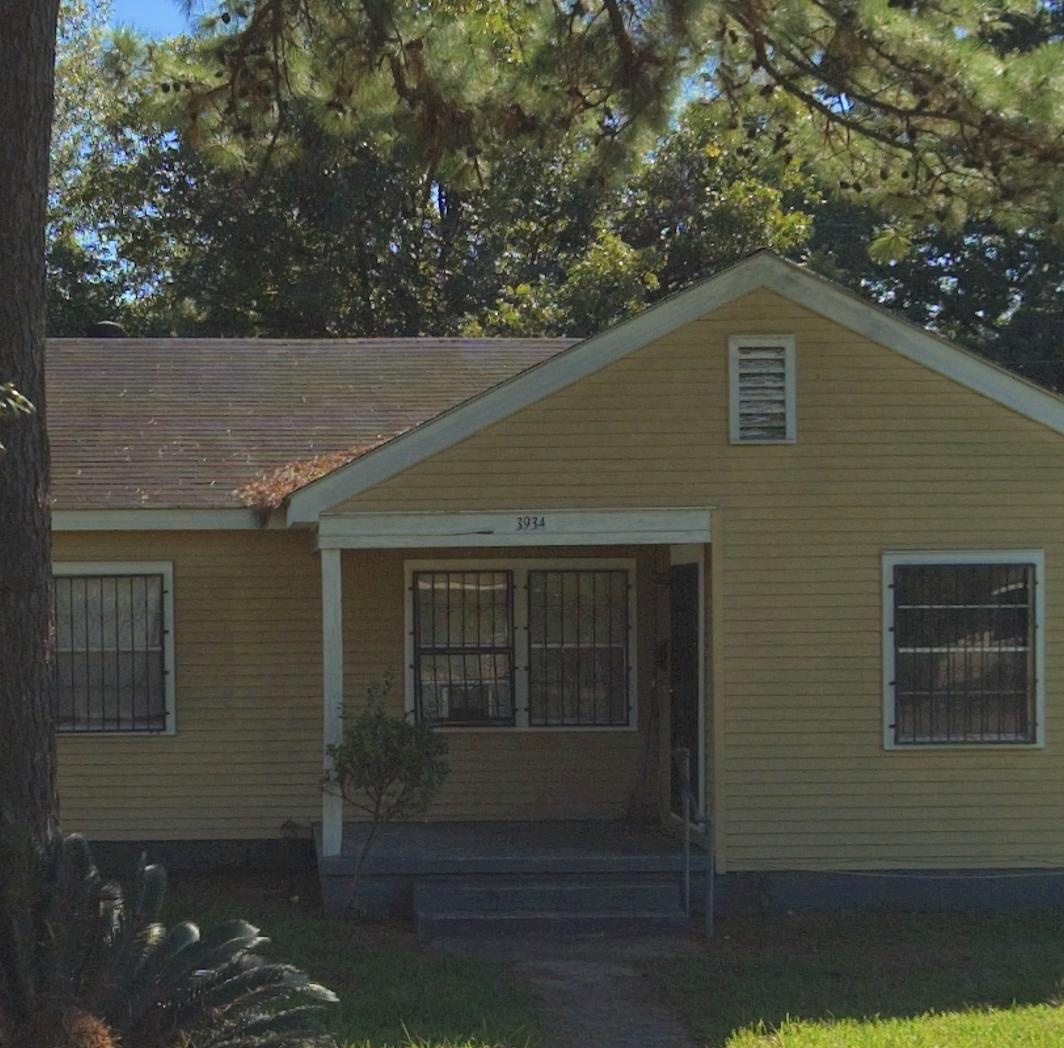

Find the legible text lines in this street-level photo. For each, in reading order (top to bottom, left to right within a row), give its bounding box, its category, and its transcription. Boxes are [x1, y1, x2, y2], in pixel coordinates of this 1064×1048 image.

[514, 514, 547, 531] StreetNumber: 3934